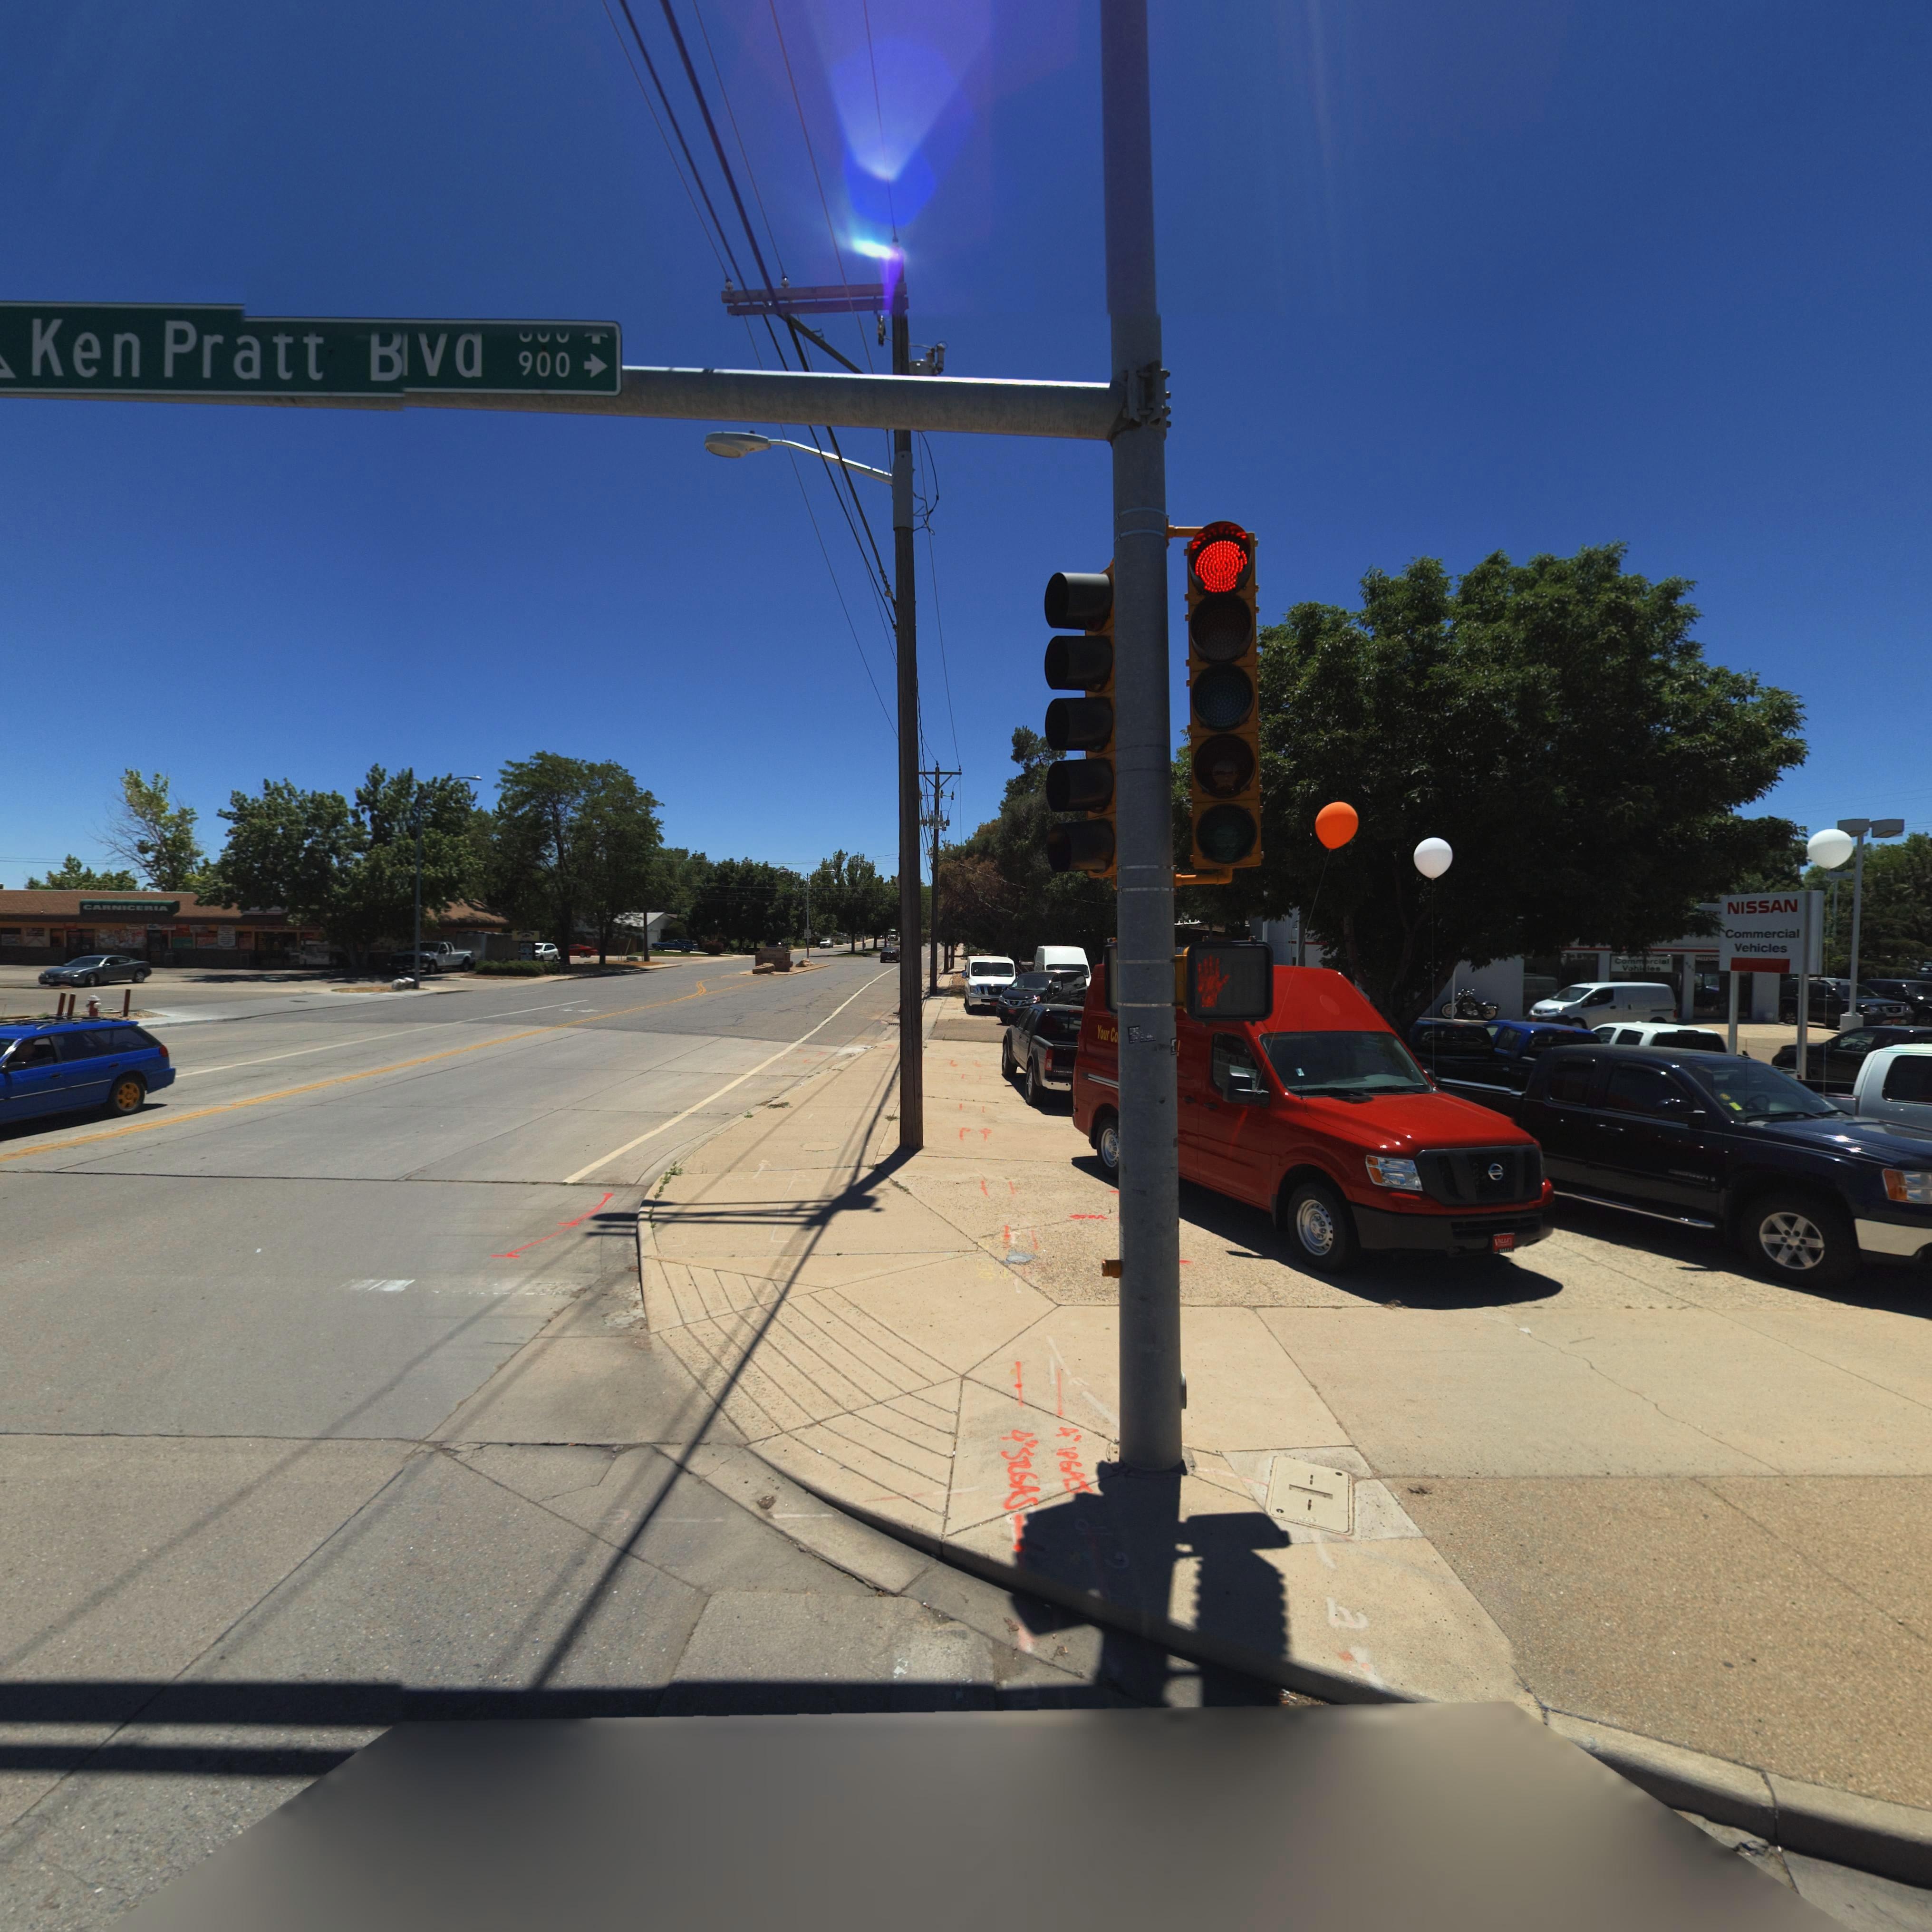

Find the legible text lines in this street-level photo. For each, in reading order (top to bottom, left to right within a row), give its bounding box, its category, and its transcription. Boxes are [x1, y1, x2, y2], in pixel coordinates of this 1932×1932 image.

[30, 315, 485, 385] StreetName: Ken Pratt ****
[518, 349, 610, 380] StreetNumberRange: 900->
[82, 904, 169, 912] BusinessName: CARNICERIA
[1726, 898, 1798, 915] BusinessName: NISSAN